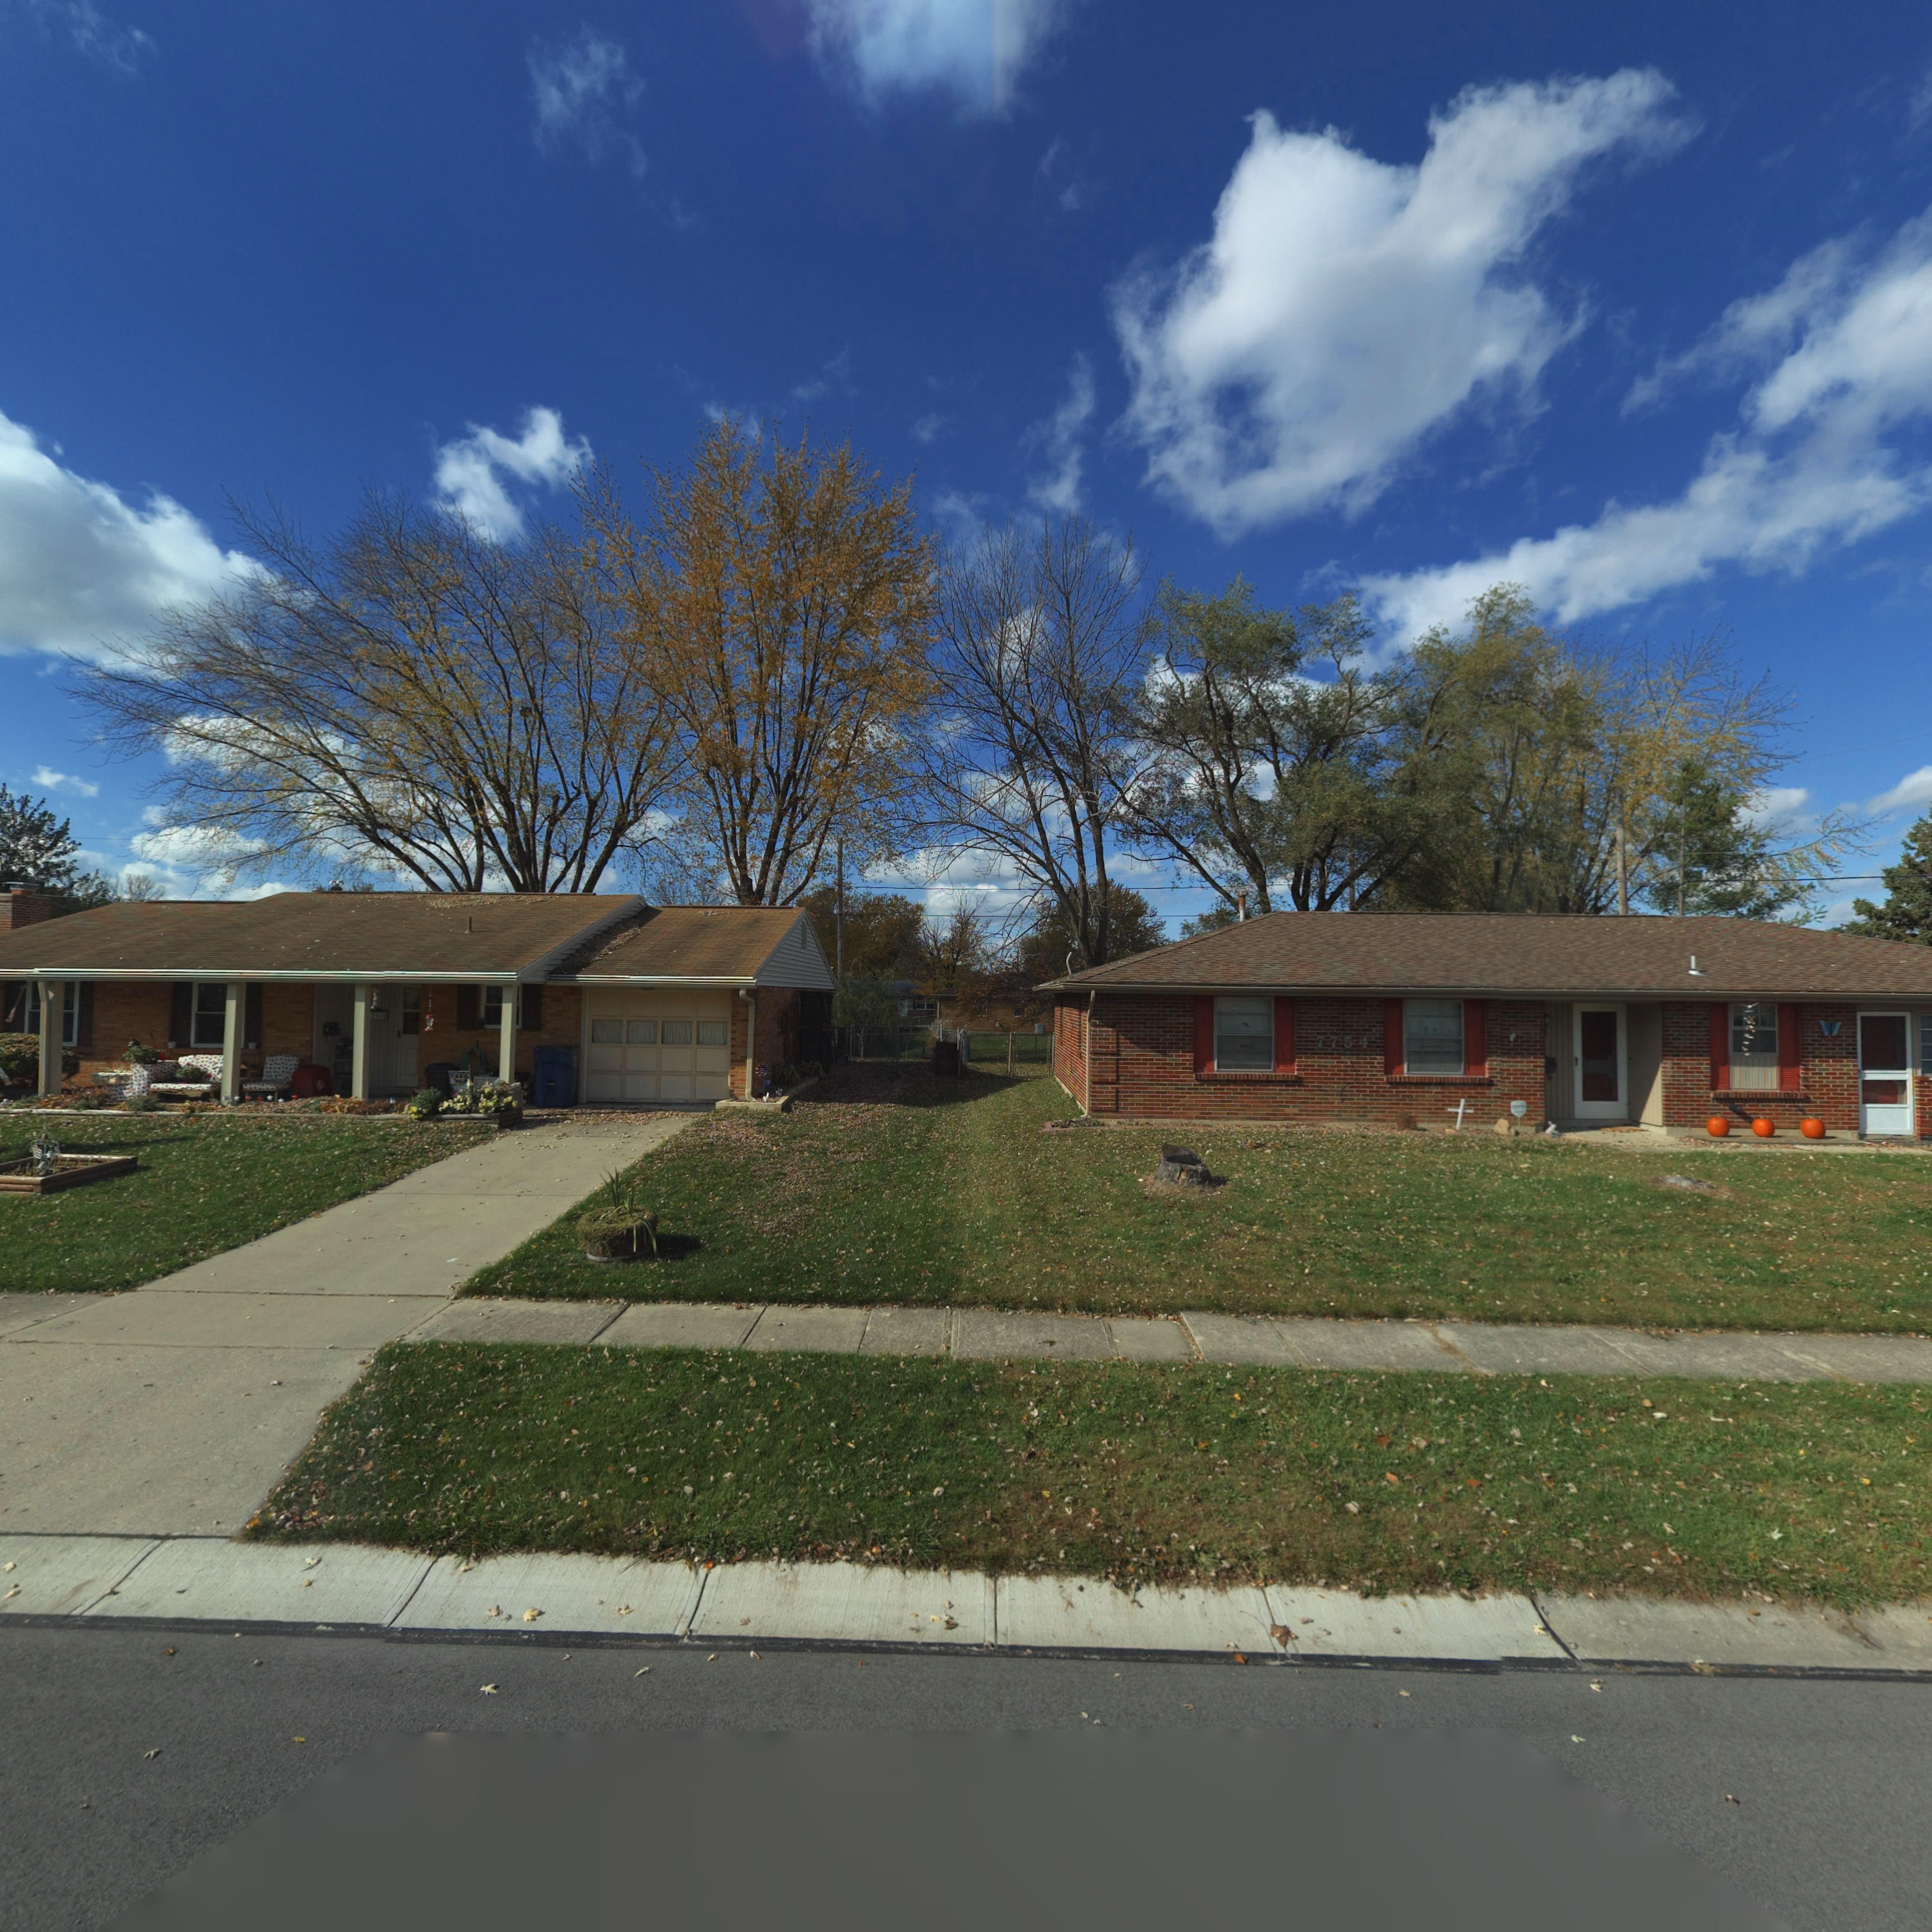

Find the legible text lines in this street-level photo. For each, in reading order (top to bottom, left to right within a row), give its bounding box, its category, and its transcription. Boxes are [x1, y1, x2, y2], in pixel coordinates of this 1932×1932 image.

[371, 1012, 382, 1019] StreetNumber: 736
[1316, 1035, 1369, 1049] StreetNumber: 7754